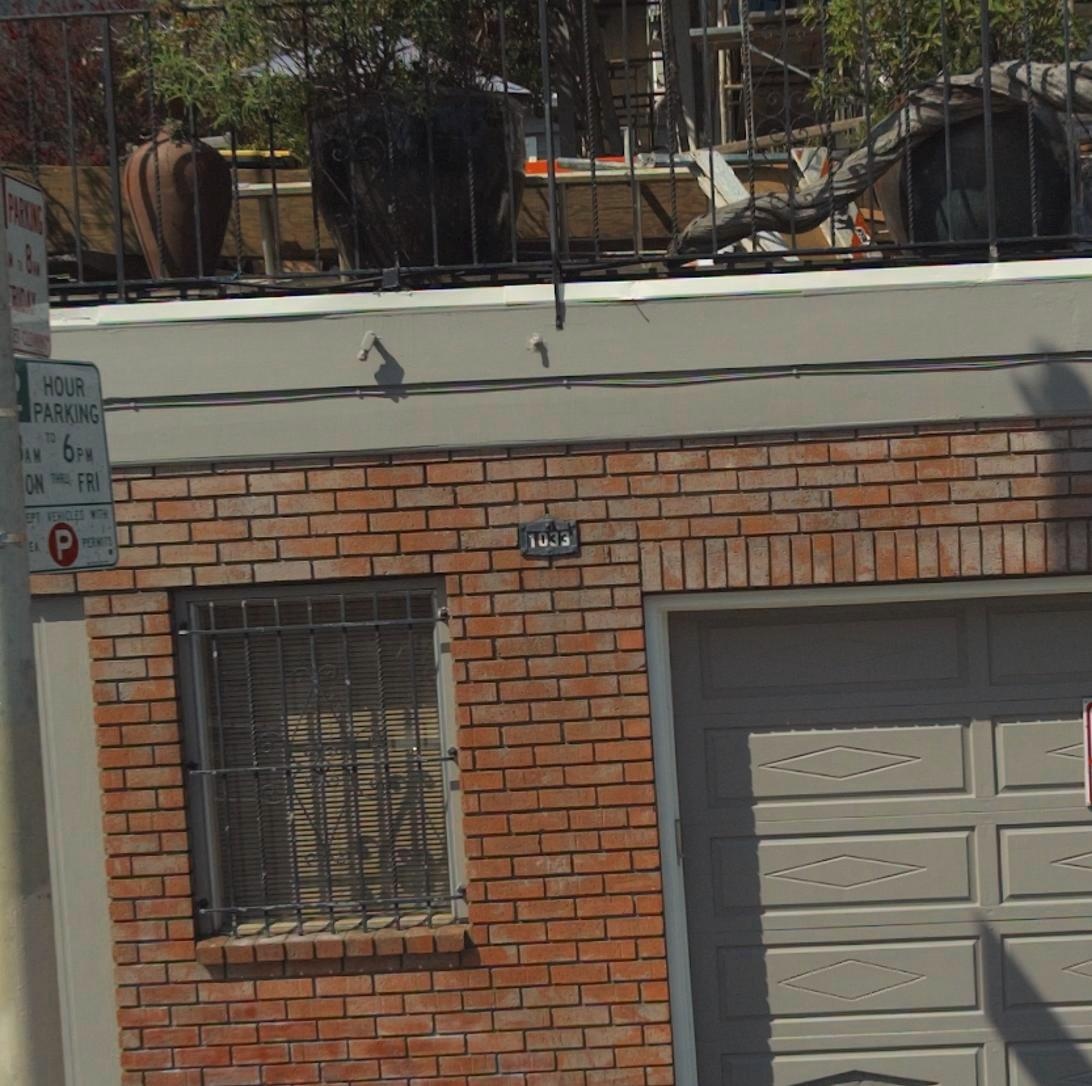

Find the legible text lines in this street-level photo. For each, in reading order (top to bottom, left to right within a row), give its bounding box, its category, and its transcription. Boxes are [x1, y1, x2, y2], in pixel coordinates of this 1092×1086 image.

[7, 190, 44, 237] None: PARKING
[42, 374, 89, 396] None: HOUR
[31, 401, 101, 423] None: PARKING
[44, 428, 57, 443] None: TO
[60, 430, 96, 464] None: 6PM
[24, 471, 46, 497] None: ON
[75, 471, 101, 495] None: FRI
[53, 526, 75, 561] None: P
[527, 530, 571, 549] StreetNumber: 1033